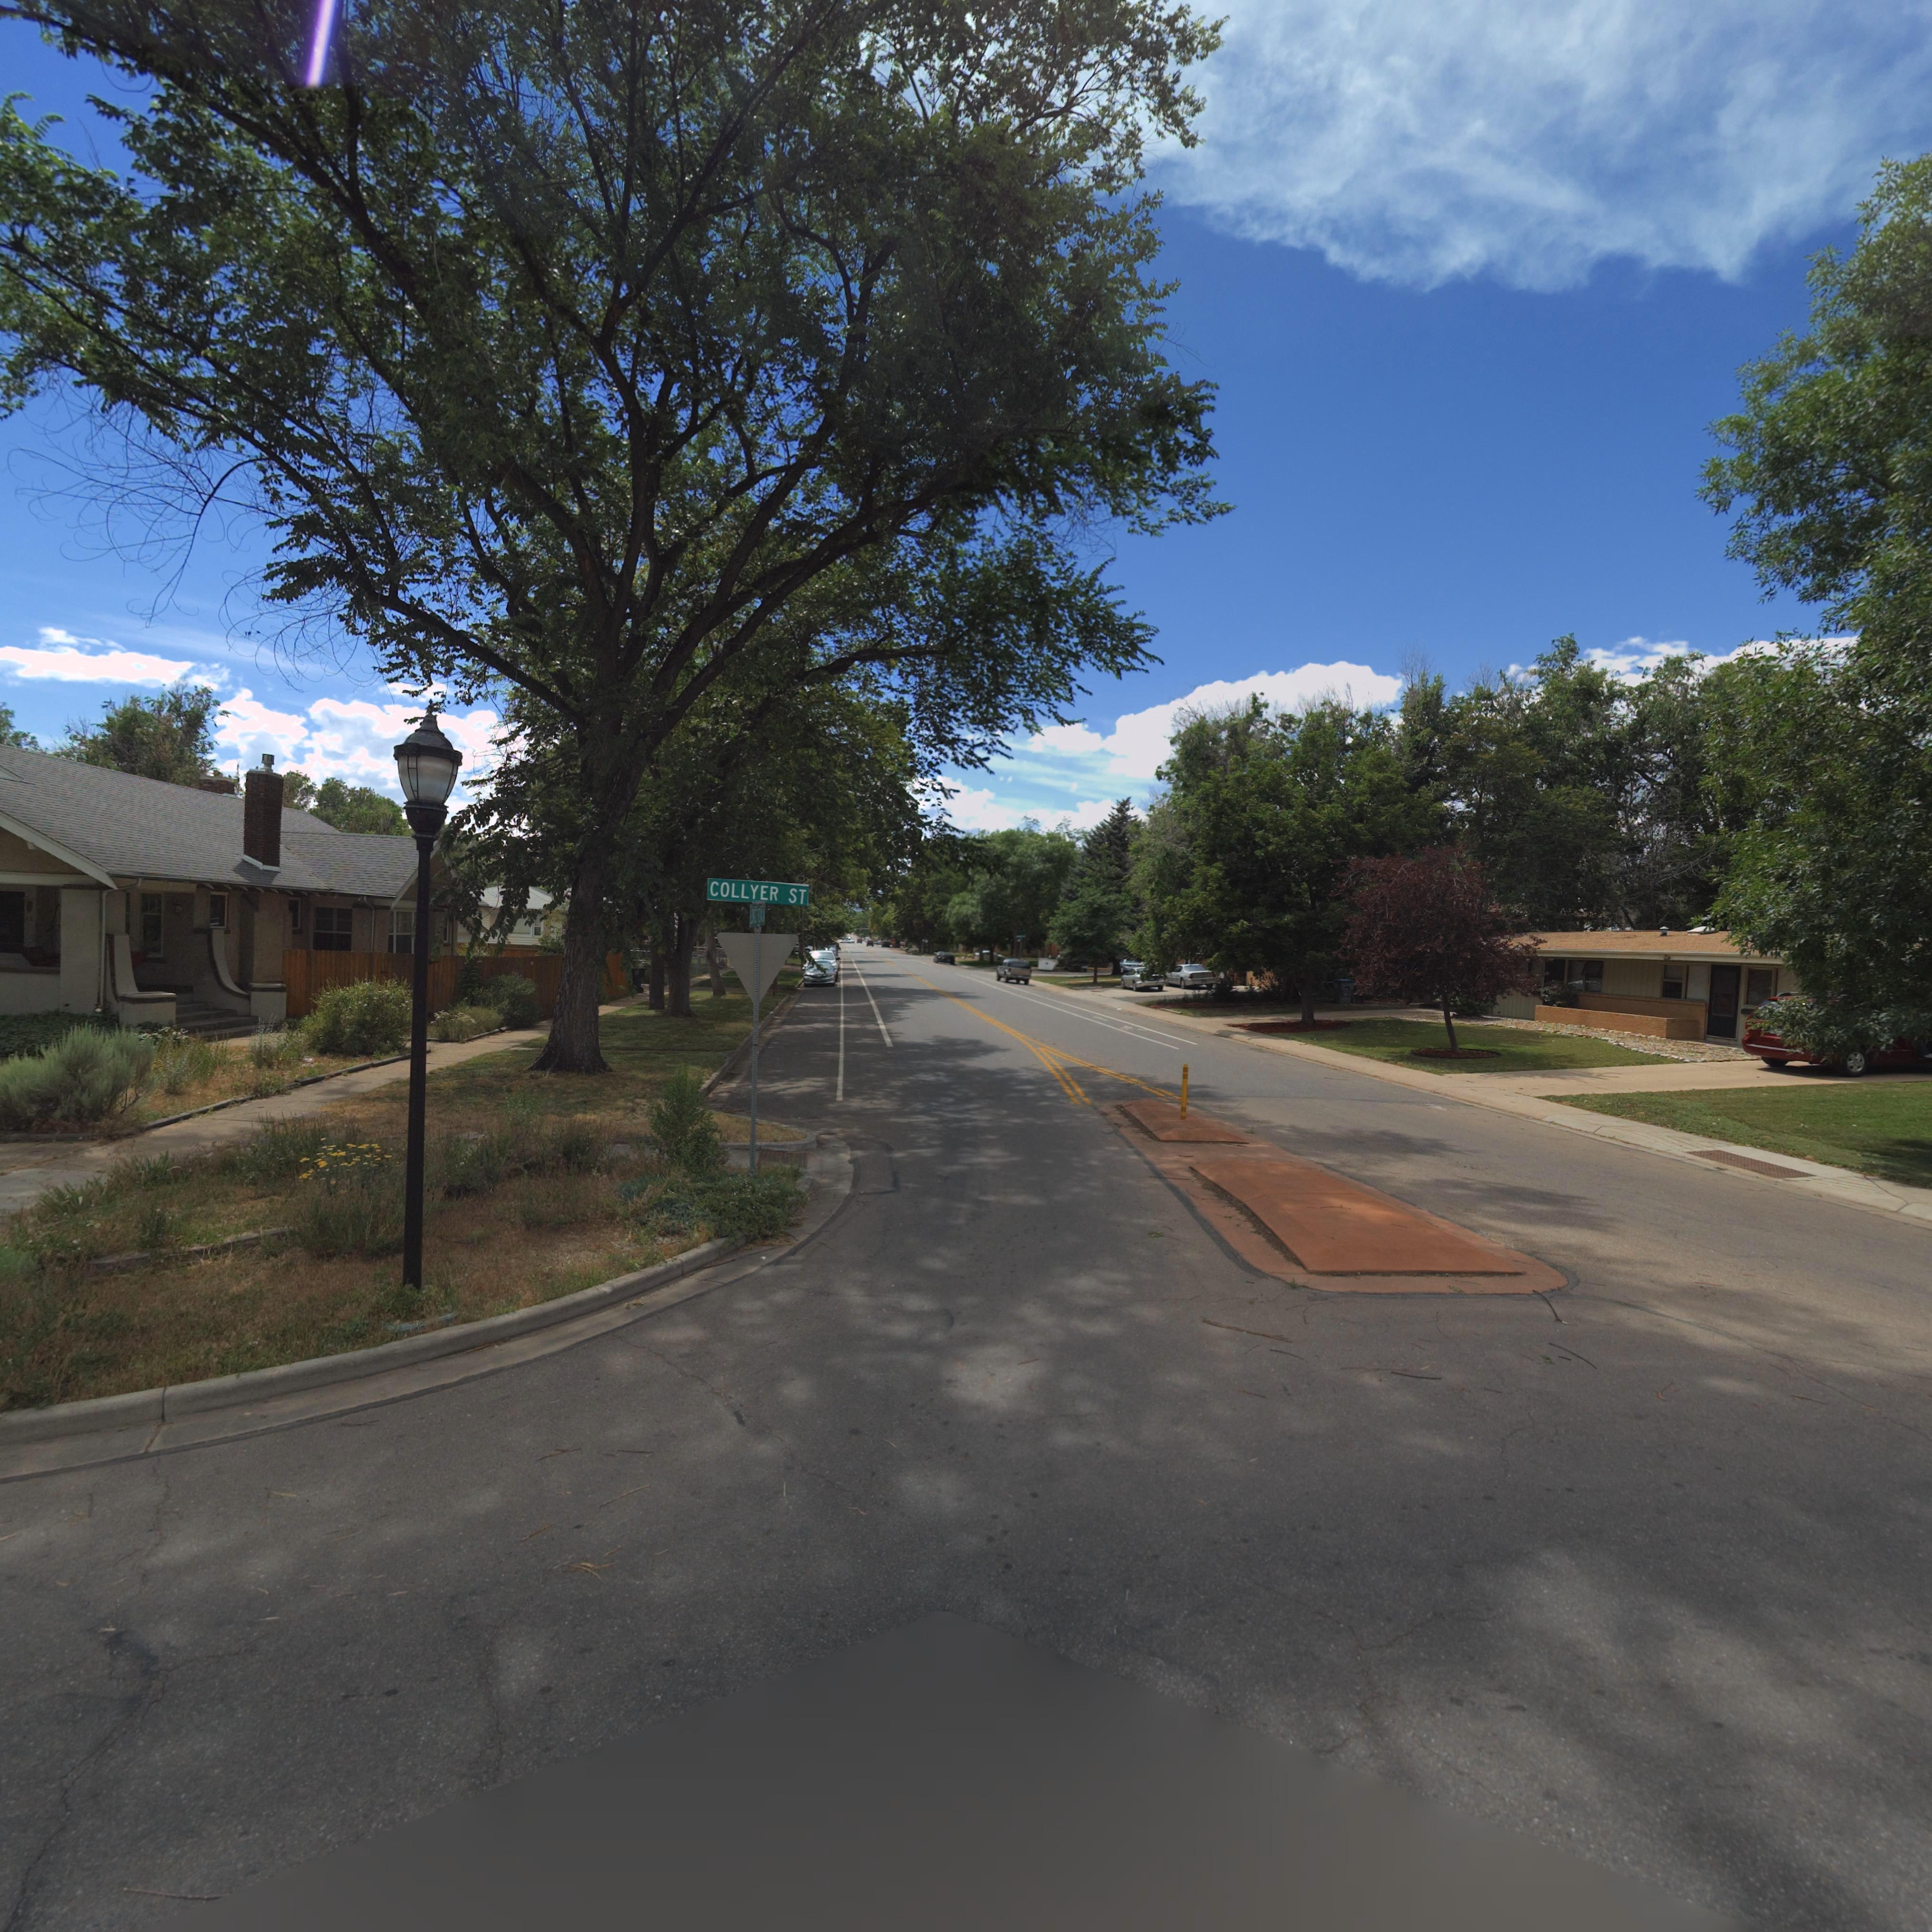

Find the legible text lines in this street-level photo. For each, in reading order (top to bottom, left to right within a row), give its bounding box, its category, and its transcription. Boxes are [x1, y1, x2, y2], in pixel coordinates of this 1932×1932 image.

[709, 879, 807, 905] StreetName: COLLYER ST